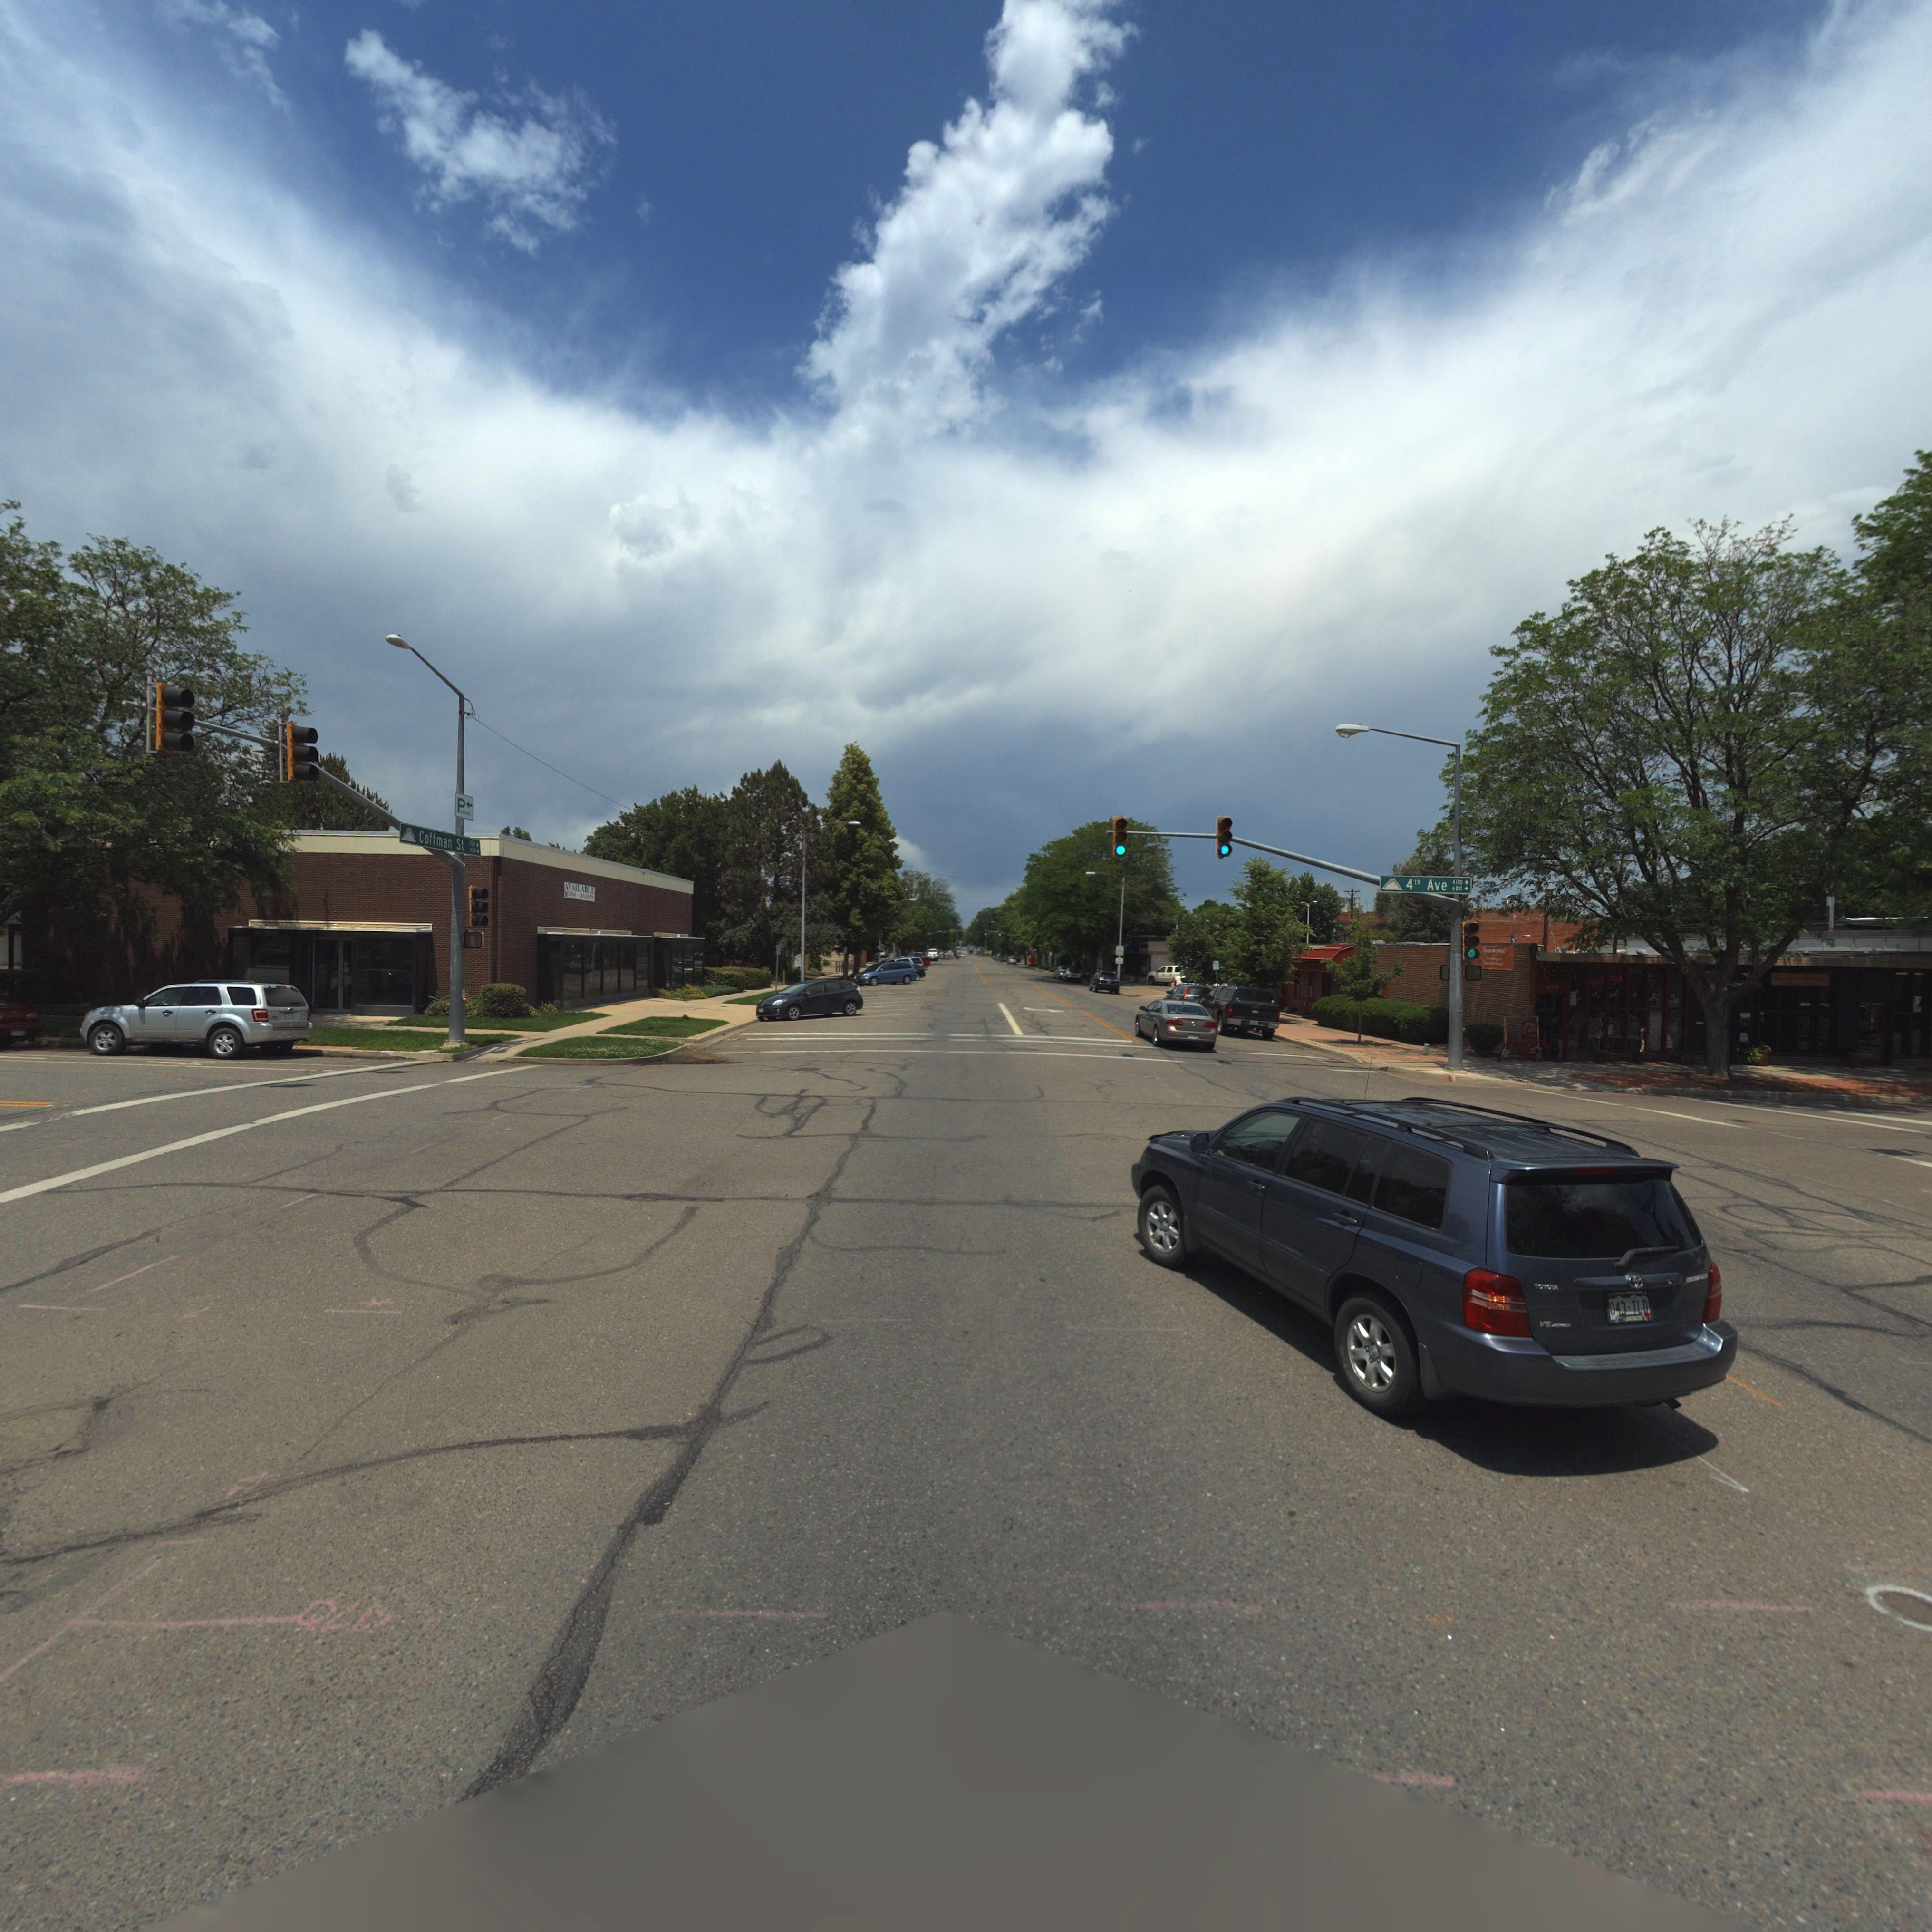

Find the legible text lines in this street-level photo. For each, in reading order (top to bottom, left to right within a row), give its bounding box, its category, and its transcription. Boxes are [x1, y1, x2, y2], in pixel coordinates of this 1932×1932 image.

[418, 830, 464, 851] StreetName: Coffman St
[468, 840, 475, 847] StreetNumberRange: *00
[469, 847, 480, 853] StreetNumberRange: *00->
[1405, 878, 1447, 891] StreetName: 4th Ave
[1451, 879, 1463, 885] StreetNumberRange: 400
[1451, 885, 1469, 891] StreetNumberRange: 600->
[1774, 973, 1786, 980] BusinessName: Rio
[1583, 976, 1605, 988] BusinessName: A****
[1546, 985, 1558, 990] StreetNumber: 6*6
[1589, 989, 1677, 1002] BusinessName: AdoRn